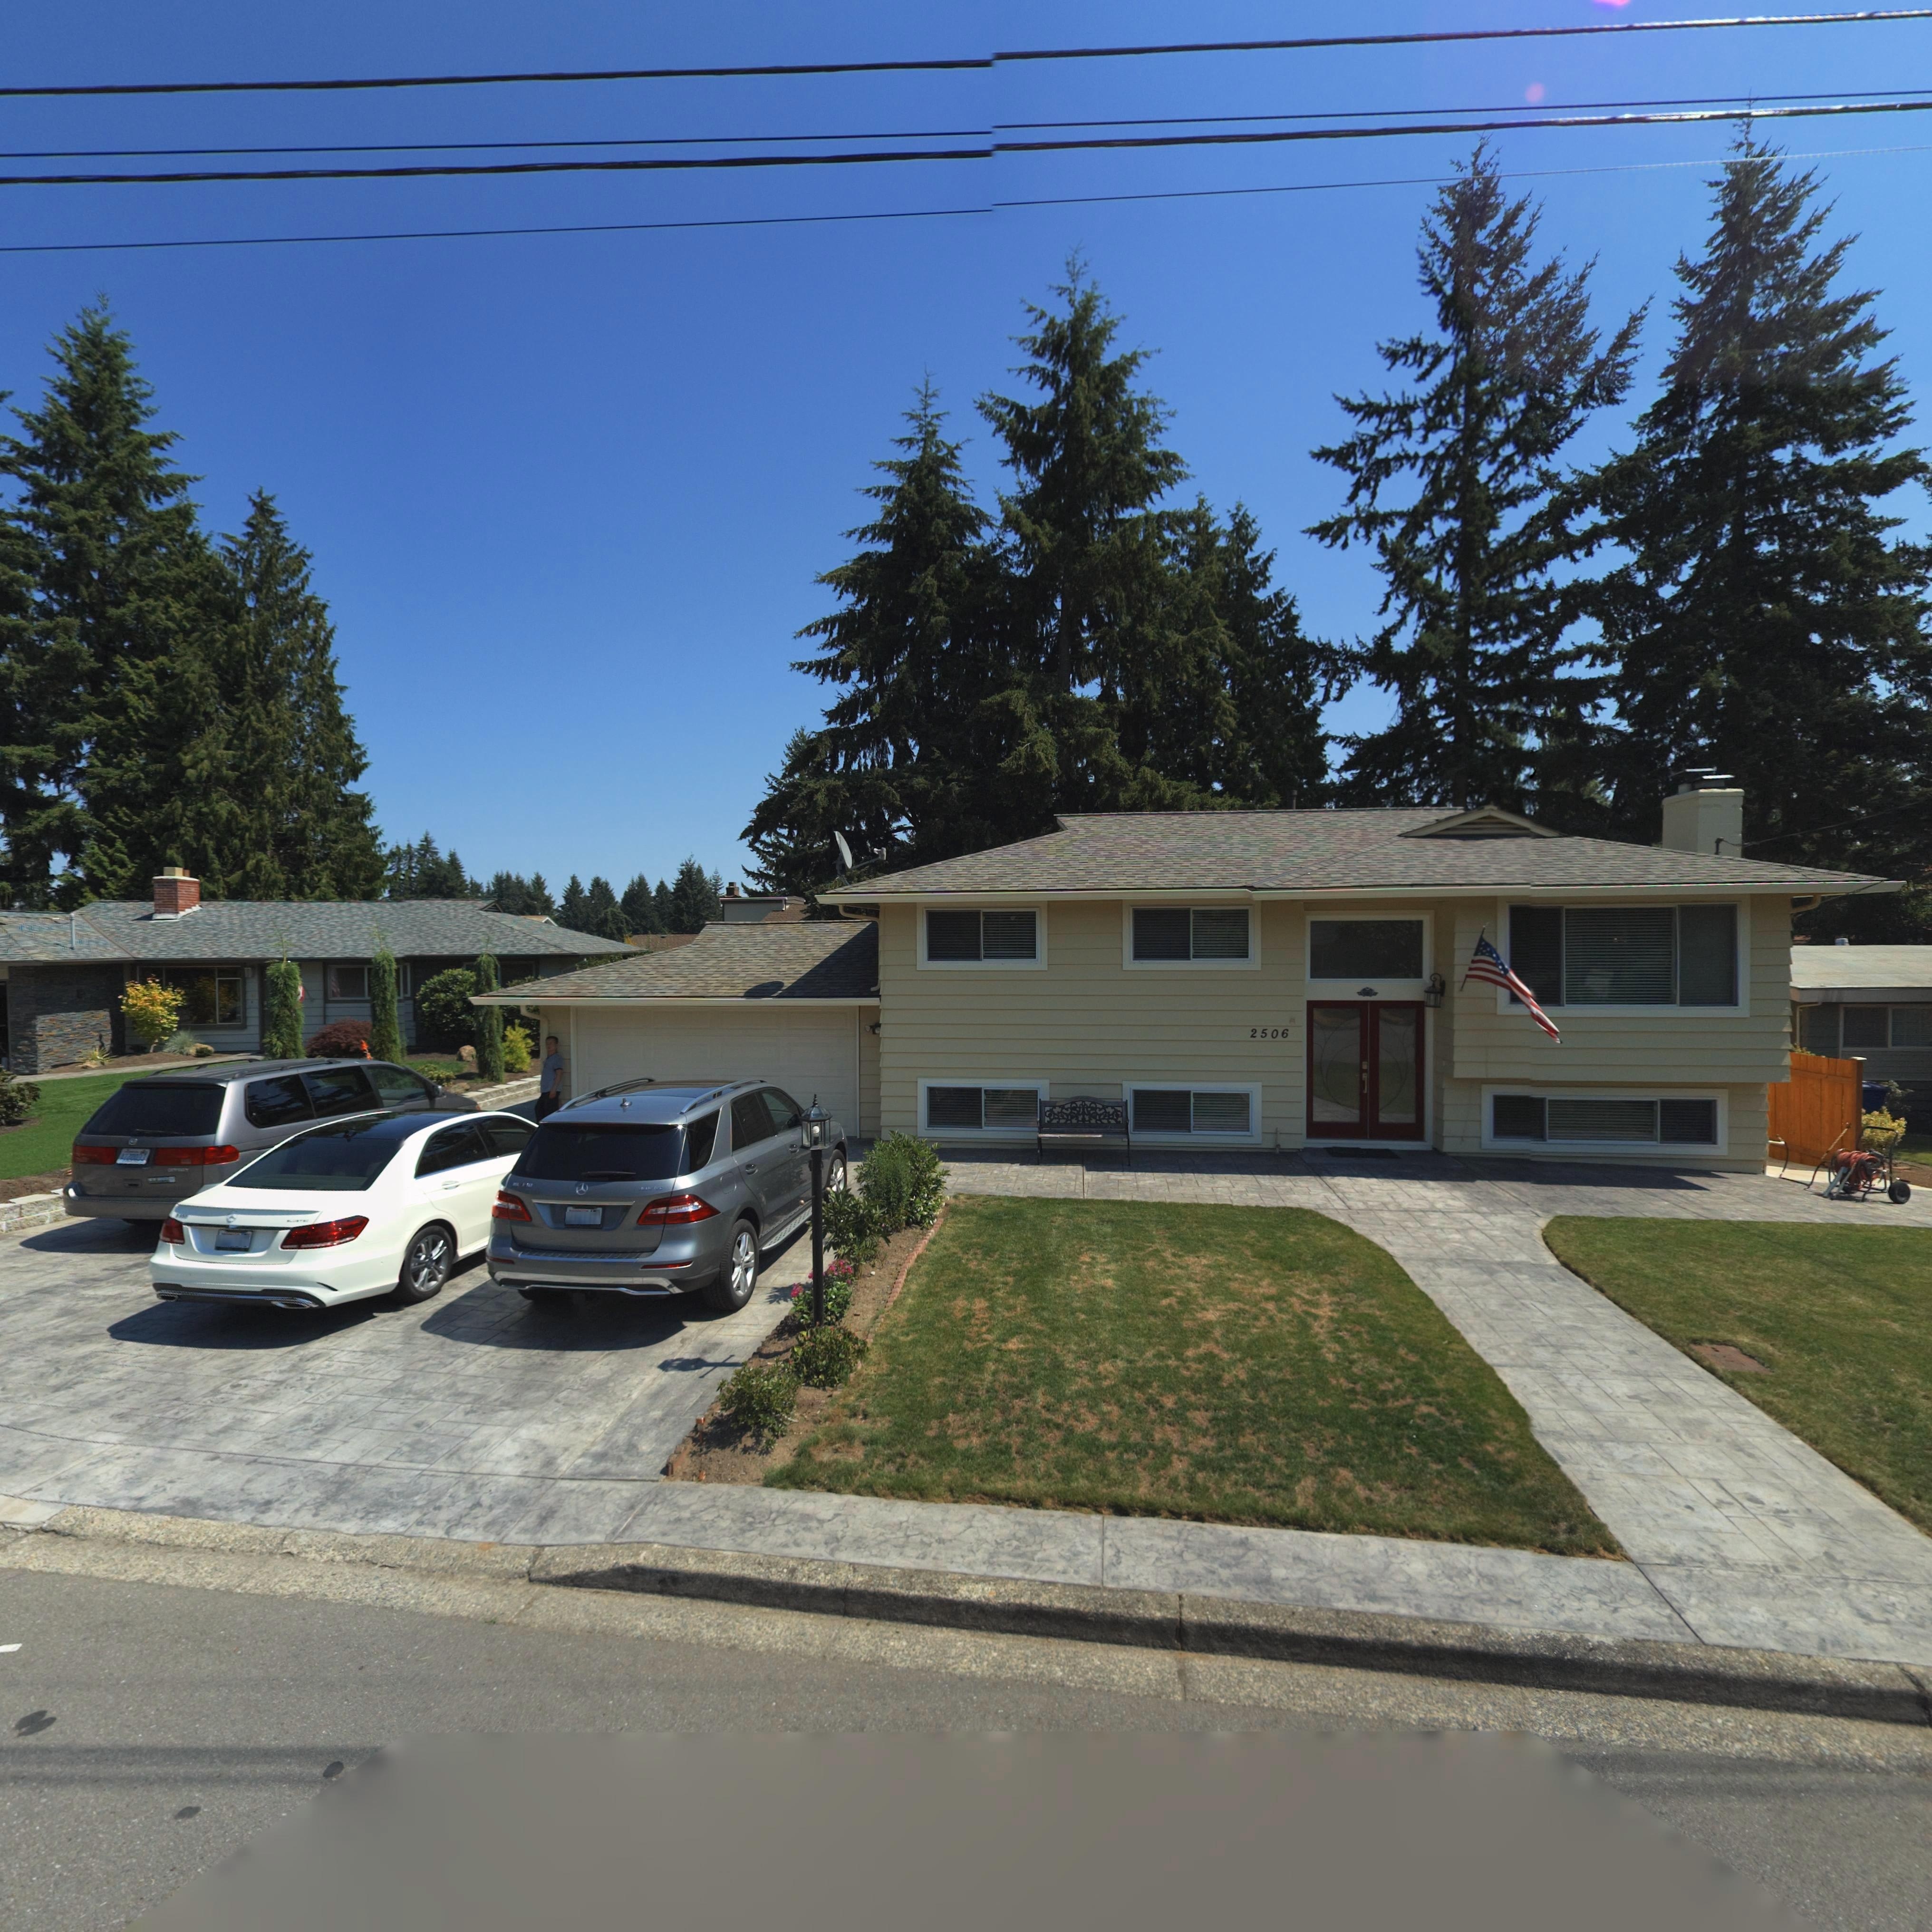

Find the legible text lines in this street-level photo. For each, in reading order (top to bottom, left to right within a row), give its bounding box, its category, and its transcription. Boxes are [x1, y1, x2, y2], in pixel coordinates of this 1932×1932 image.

[1250, 1029, 1288, 1038] StreetNumber: 2506